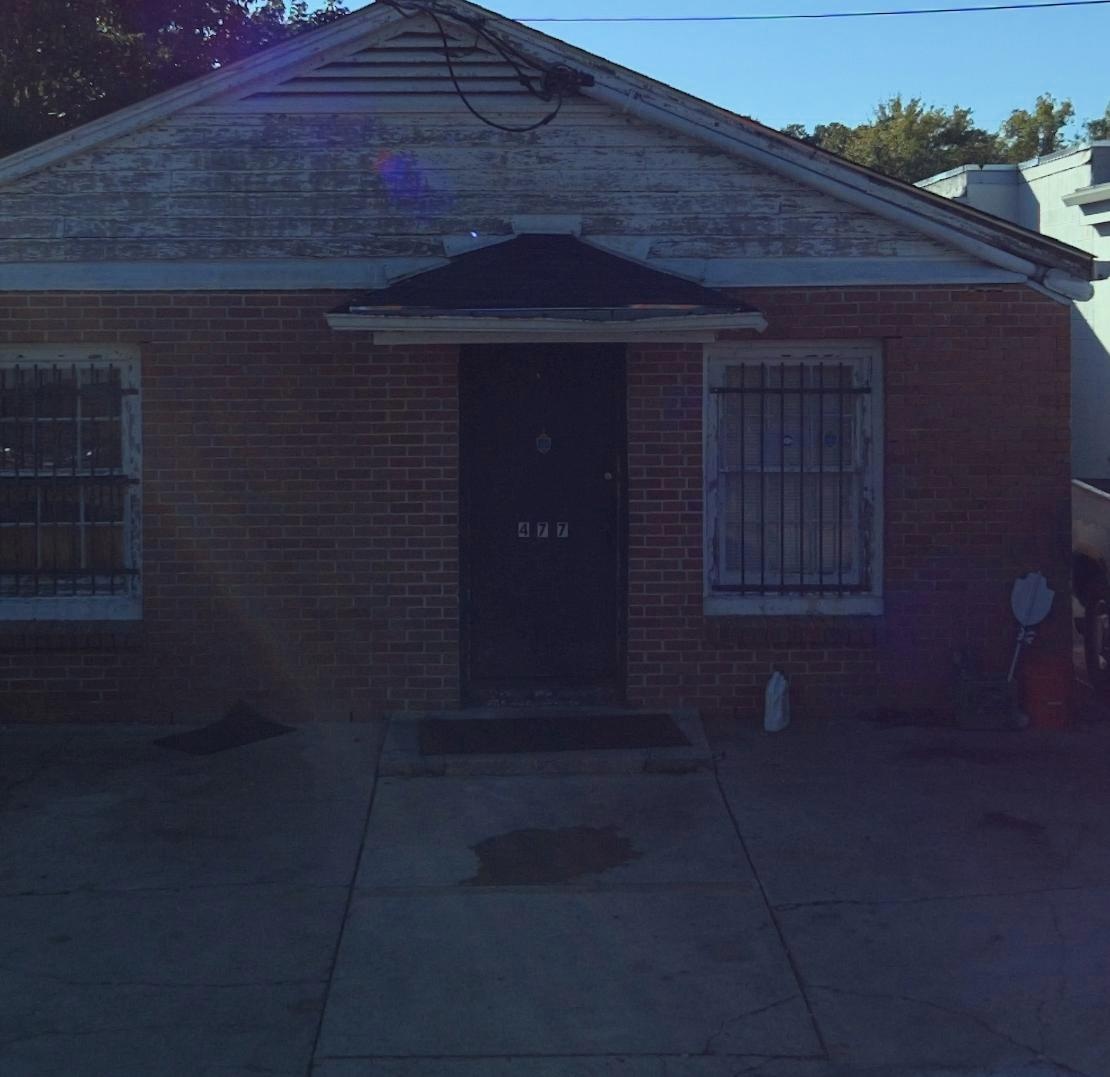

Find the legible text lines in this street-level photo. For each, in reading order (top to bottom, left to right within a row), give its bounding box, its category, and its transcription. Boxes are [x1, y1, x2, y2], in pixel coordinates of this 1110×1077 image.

[515, 520, 568, 539] StreetNumber: 477